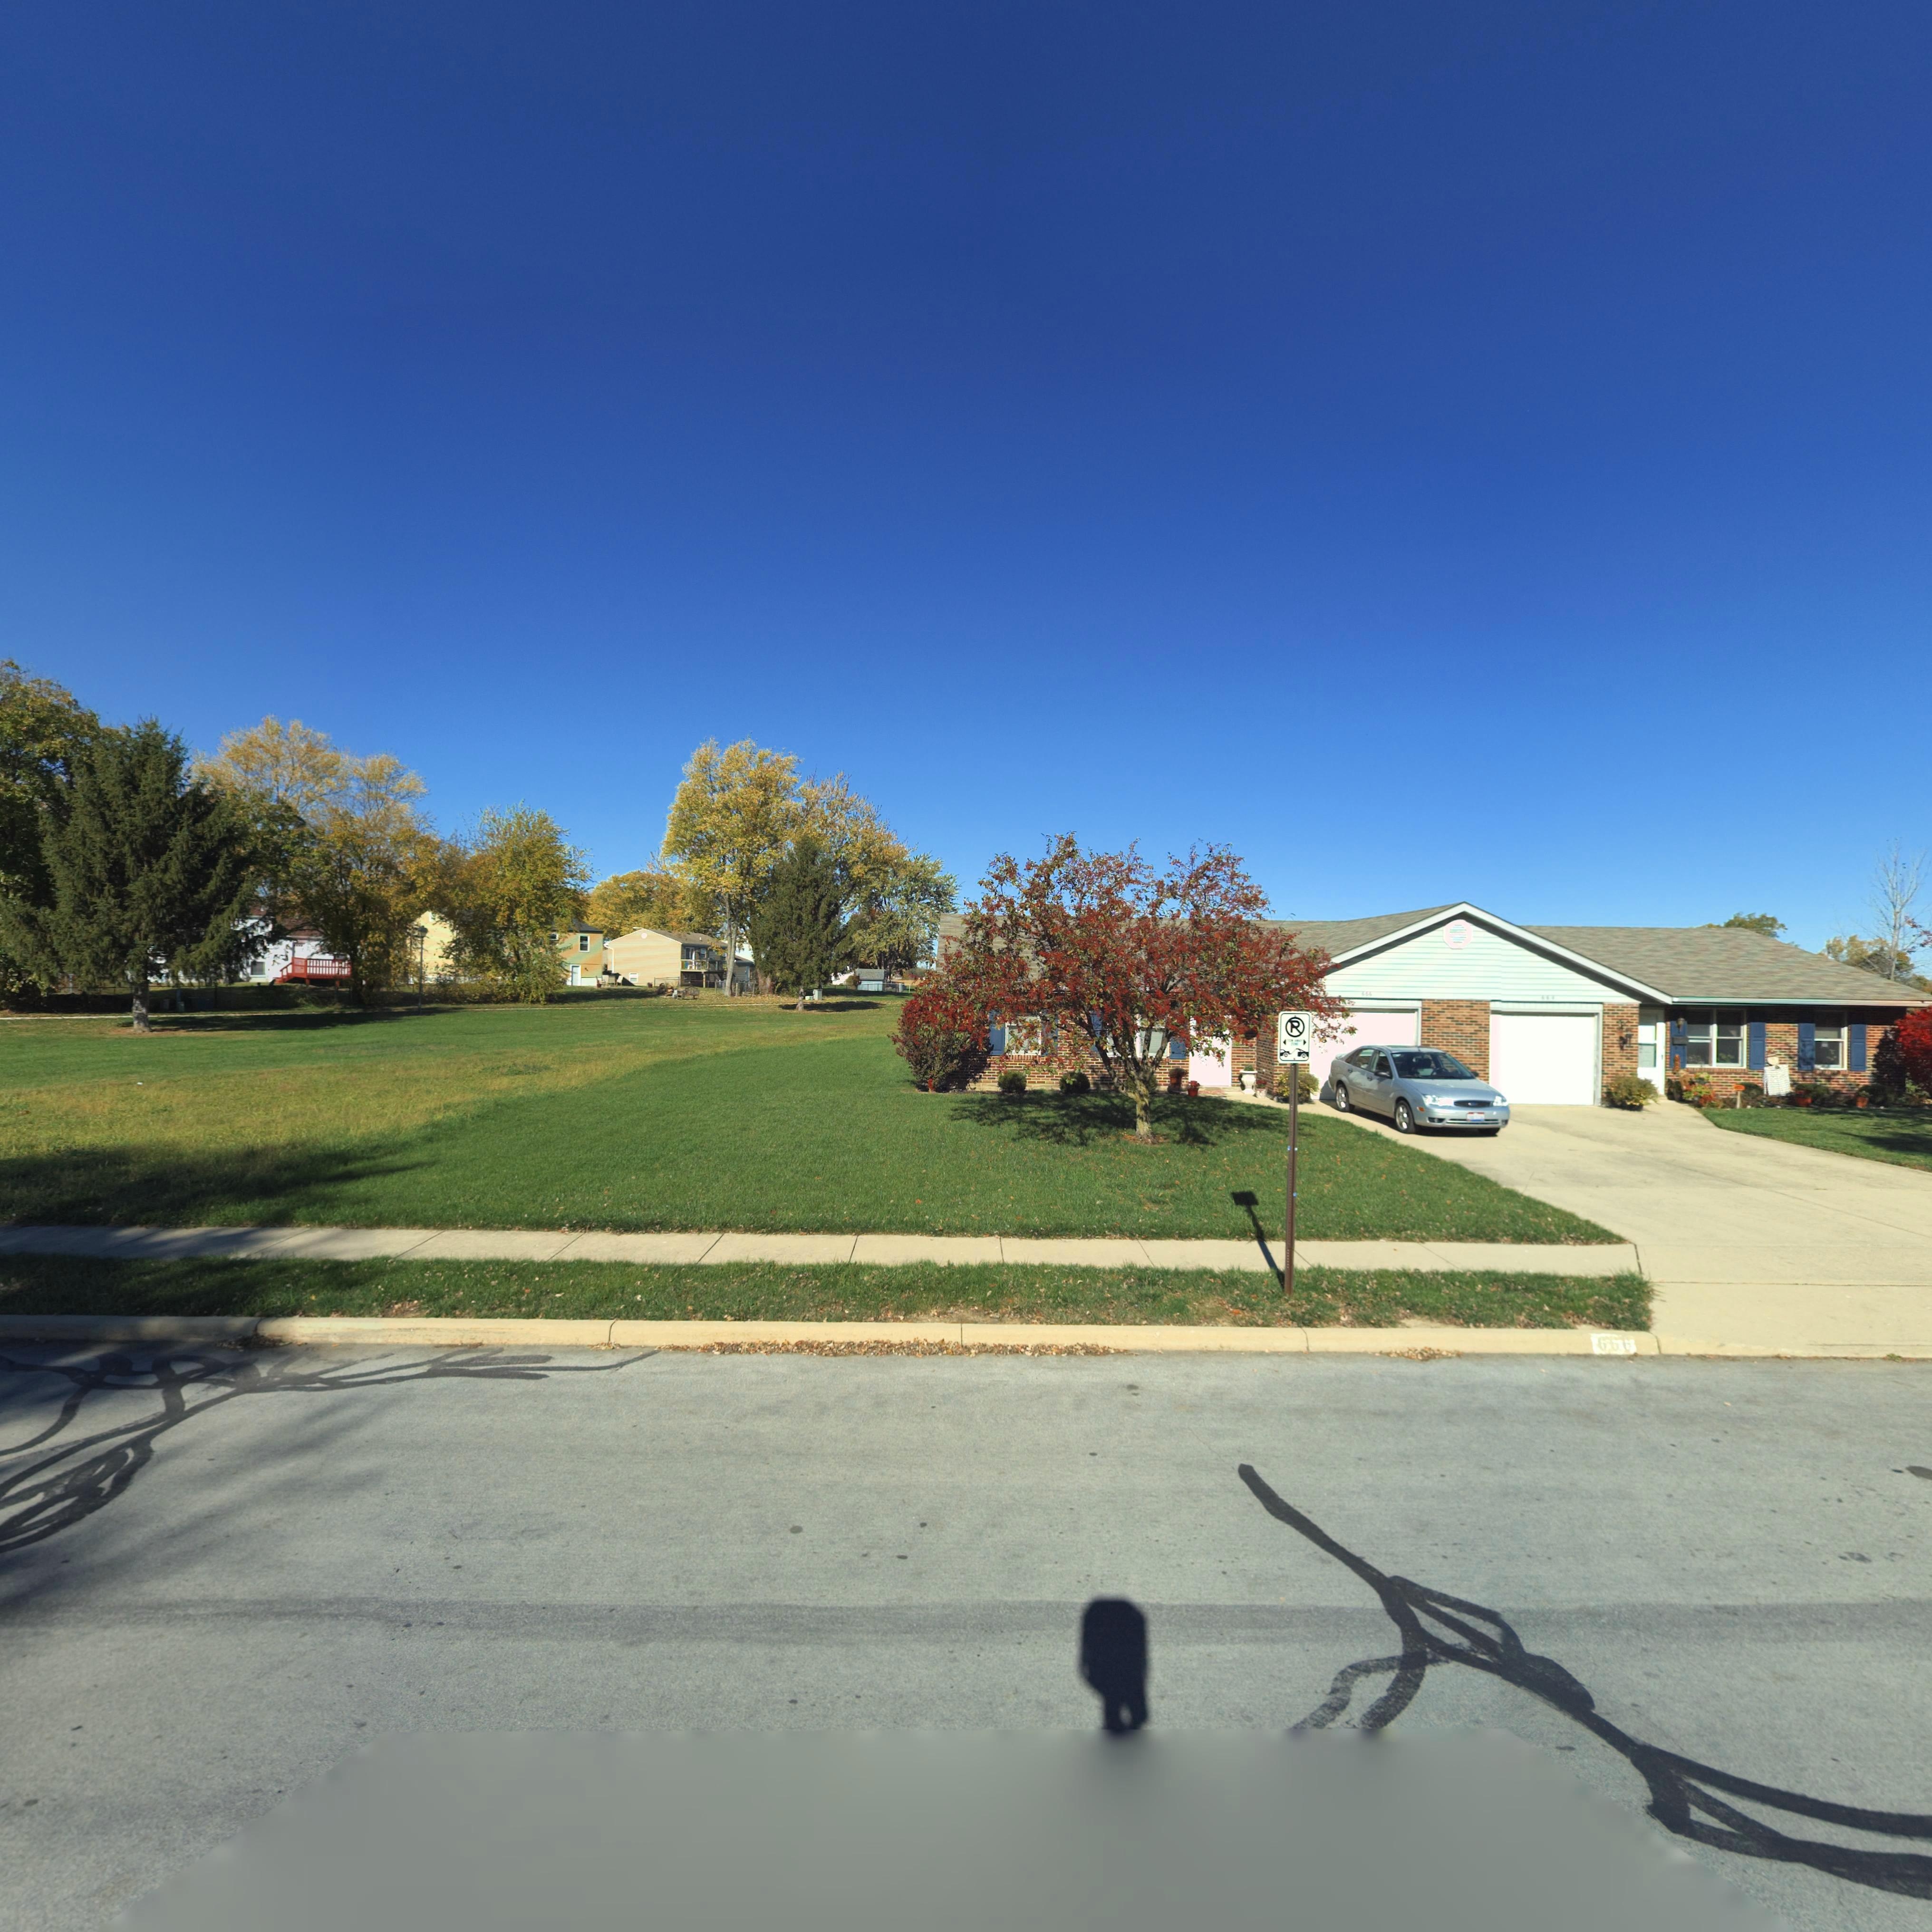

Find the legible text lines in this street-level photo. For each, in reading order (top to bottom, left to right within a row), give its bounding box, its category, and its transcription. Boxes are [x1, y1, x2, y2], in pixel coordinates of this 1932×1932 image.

[1361, 991, 1373, 997] StreetNumber: 666
[1541, 994, 1555, 1001] StreetNumber: 66*
[1597, 1336, 1633, 1352] StreetNumber: 666